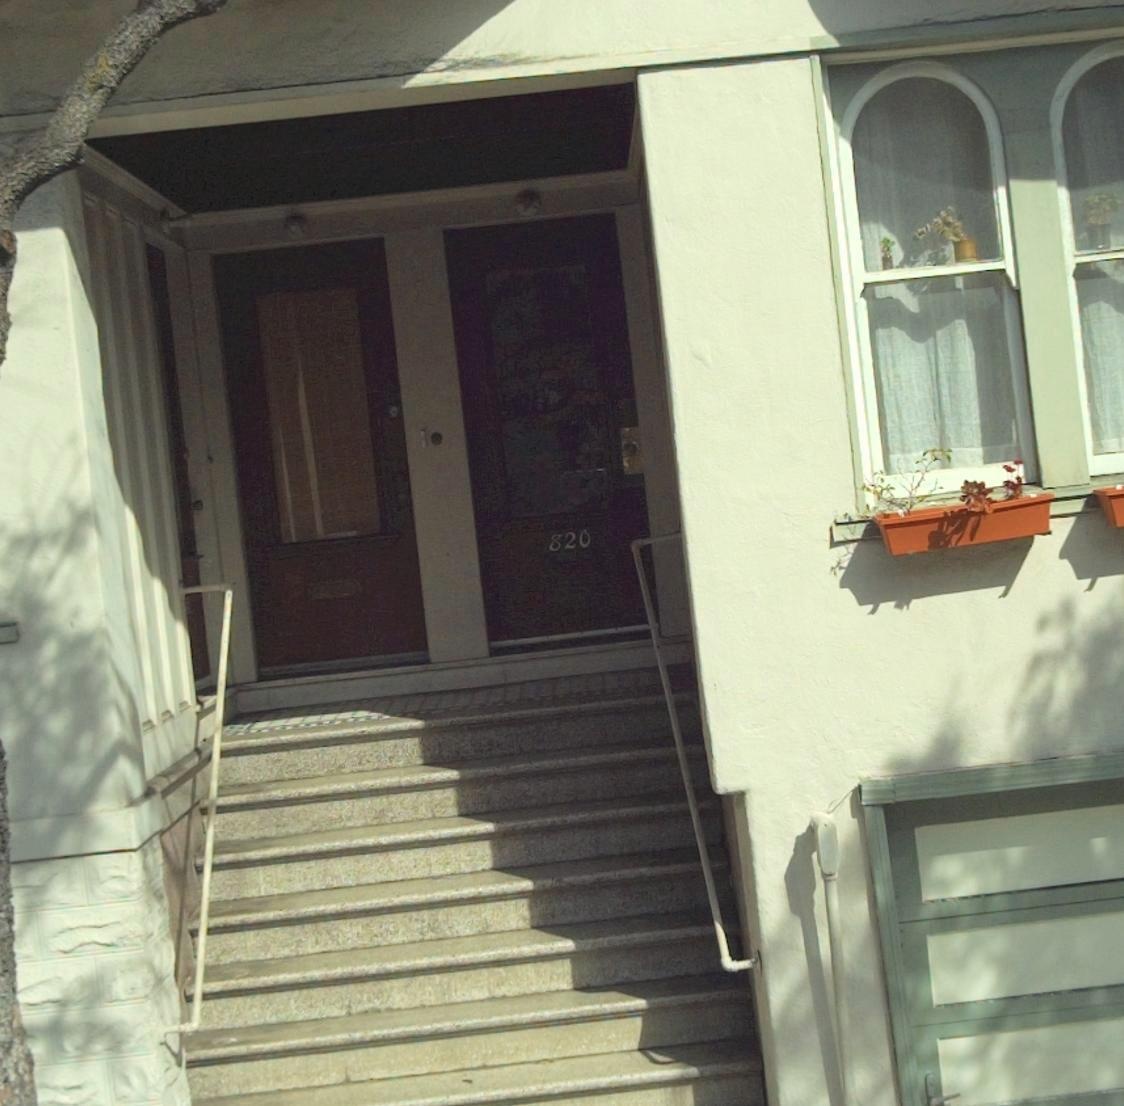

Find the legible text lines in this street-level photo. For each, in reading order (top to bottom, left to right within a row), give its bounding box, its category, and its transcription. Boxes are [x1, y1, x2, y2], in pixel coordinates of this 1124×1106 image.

[548, 528, 593, 554] StreetNumber: 820